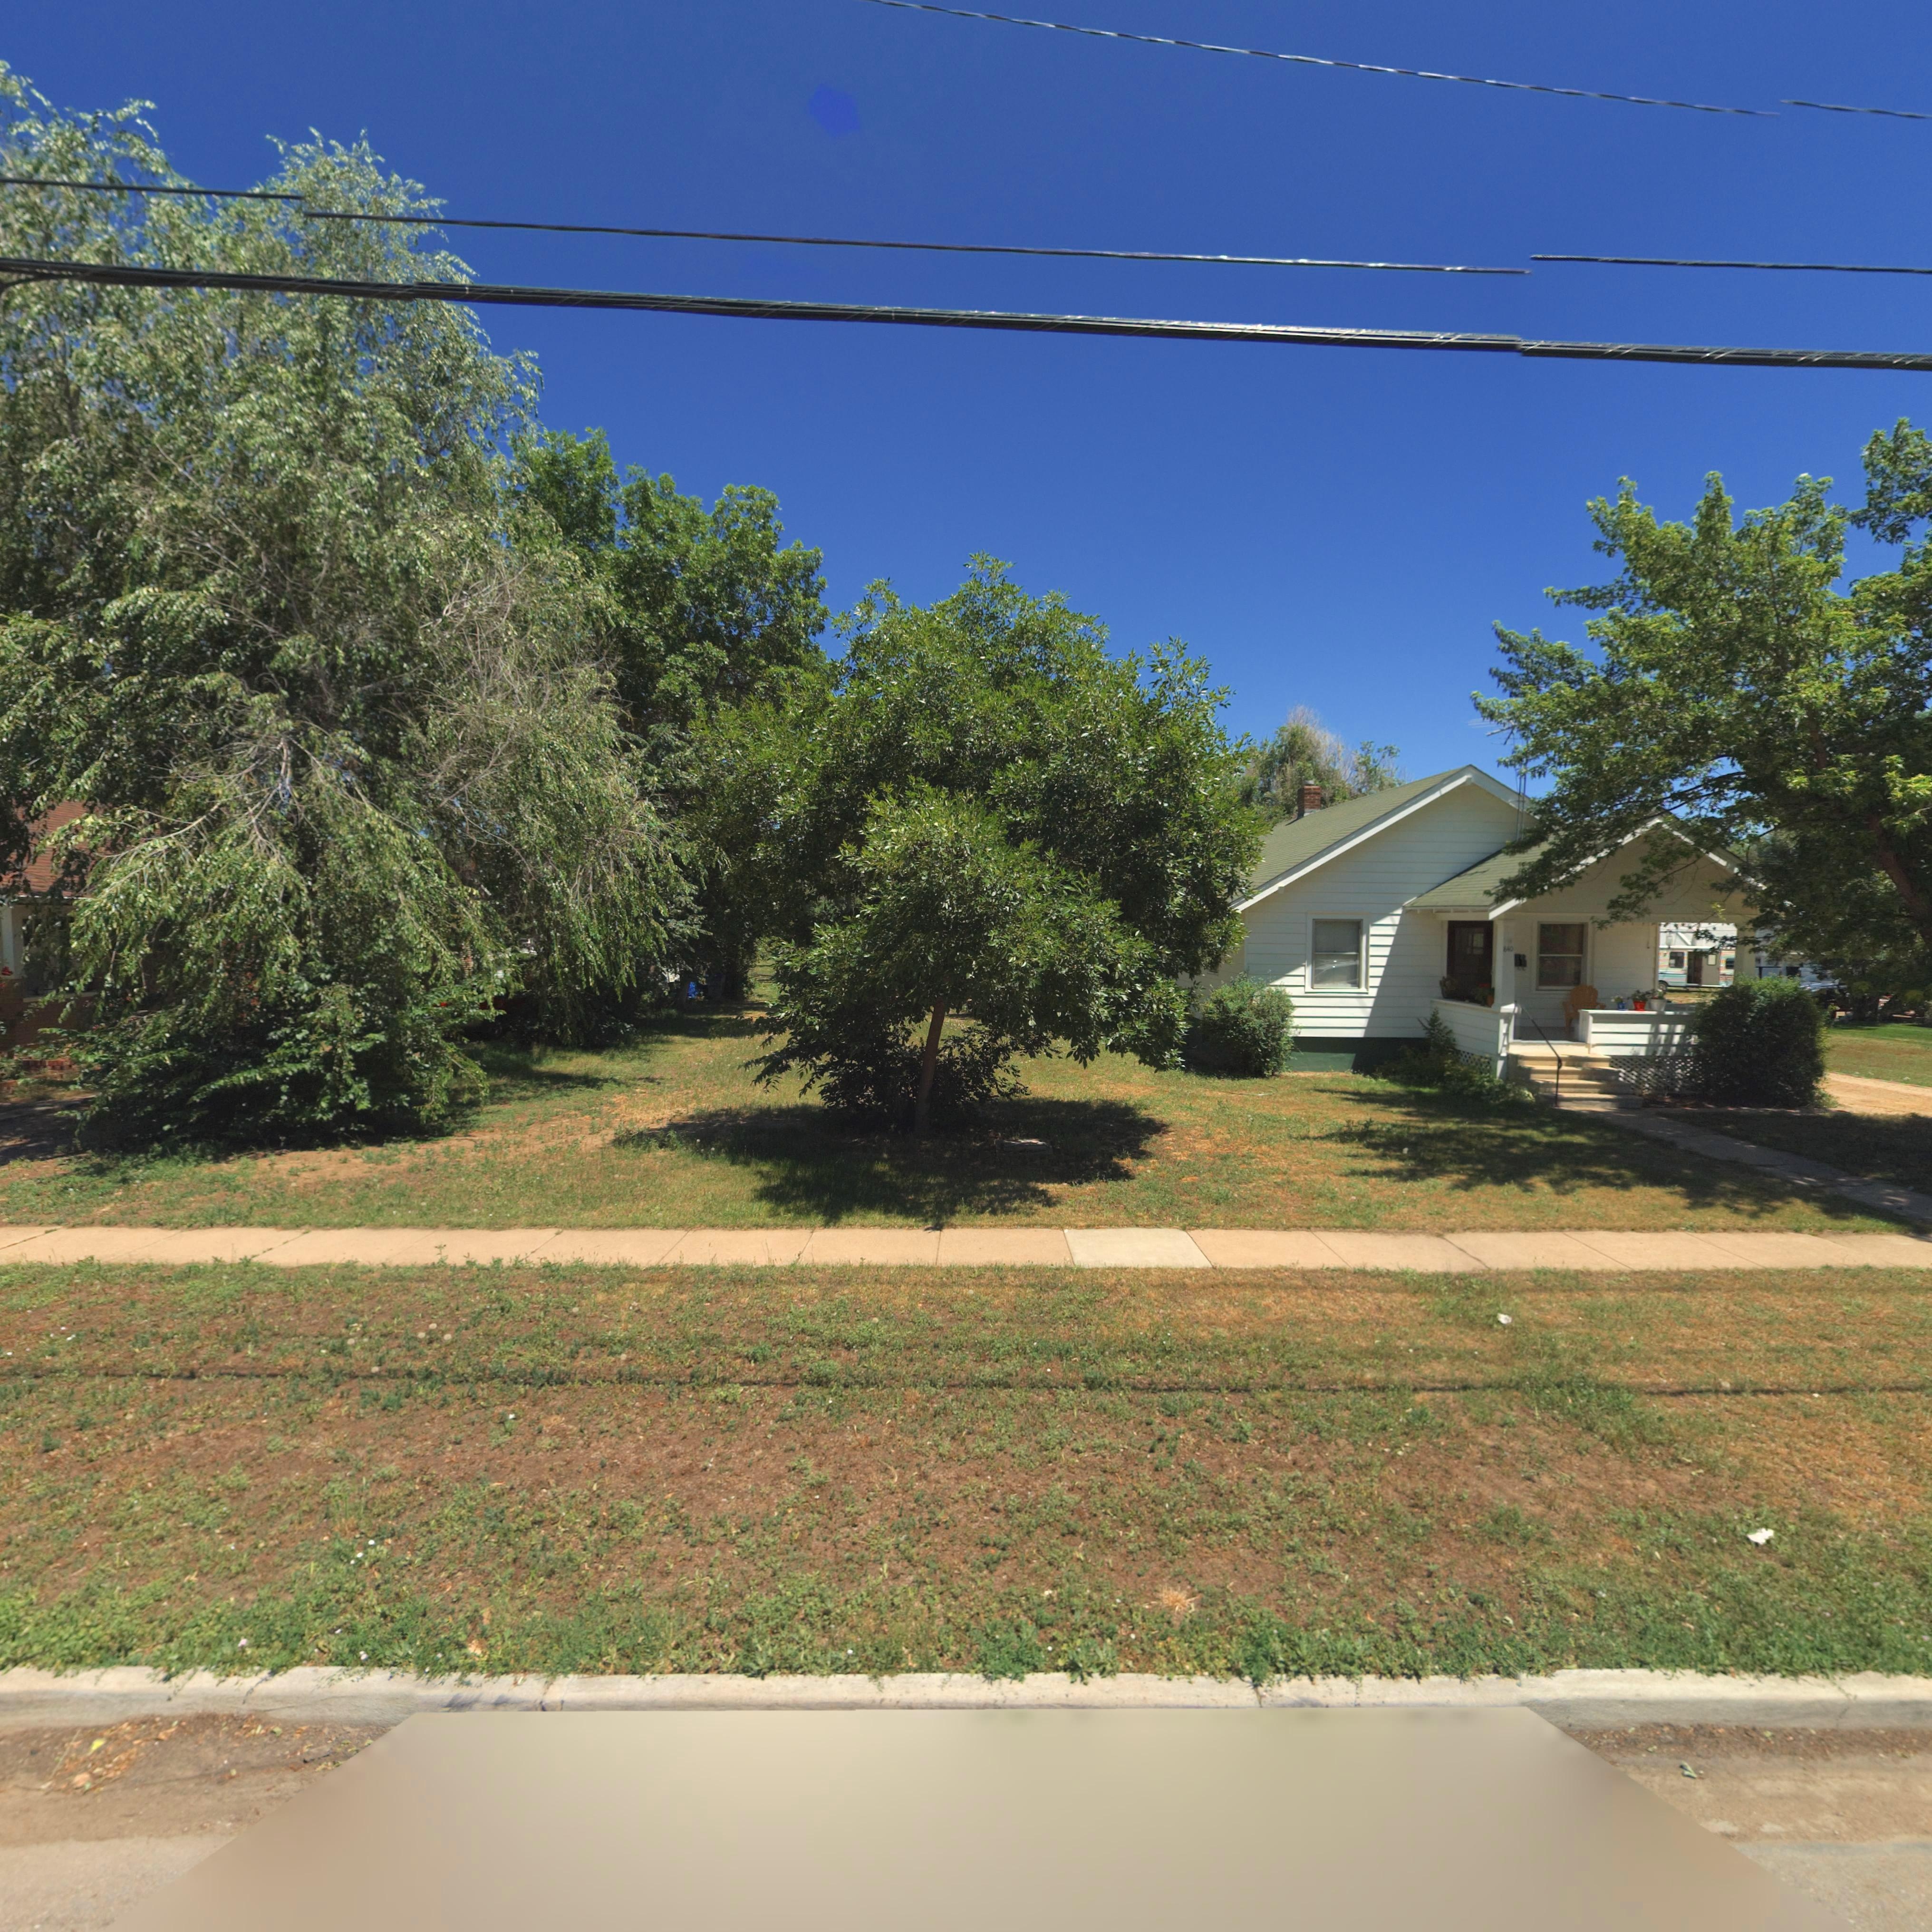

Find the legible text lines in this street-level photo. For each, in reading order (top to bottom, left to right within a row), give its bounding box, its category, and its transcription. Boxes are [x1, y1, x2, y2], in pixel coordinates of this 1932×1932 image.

[1503, 945, 1513, 953] StreetNumber: 840